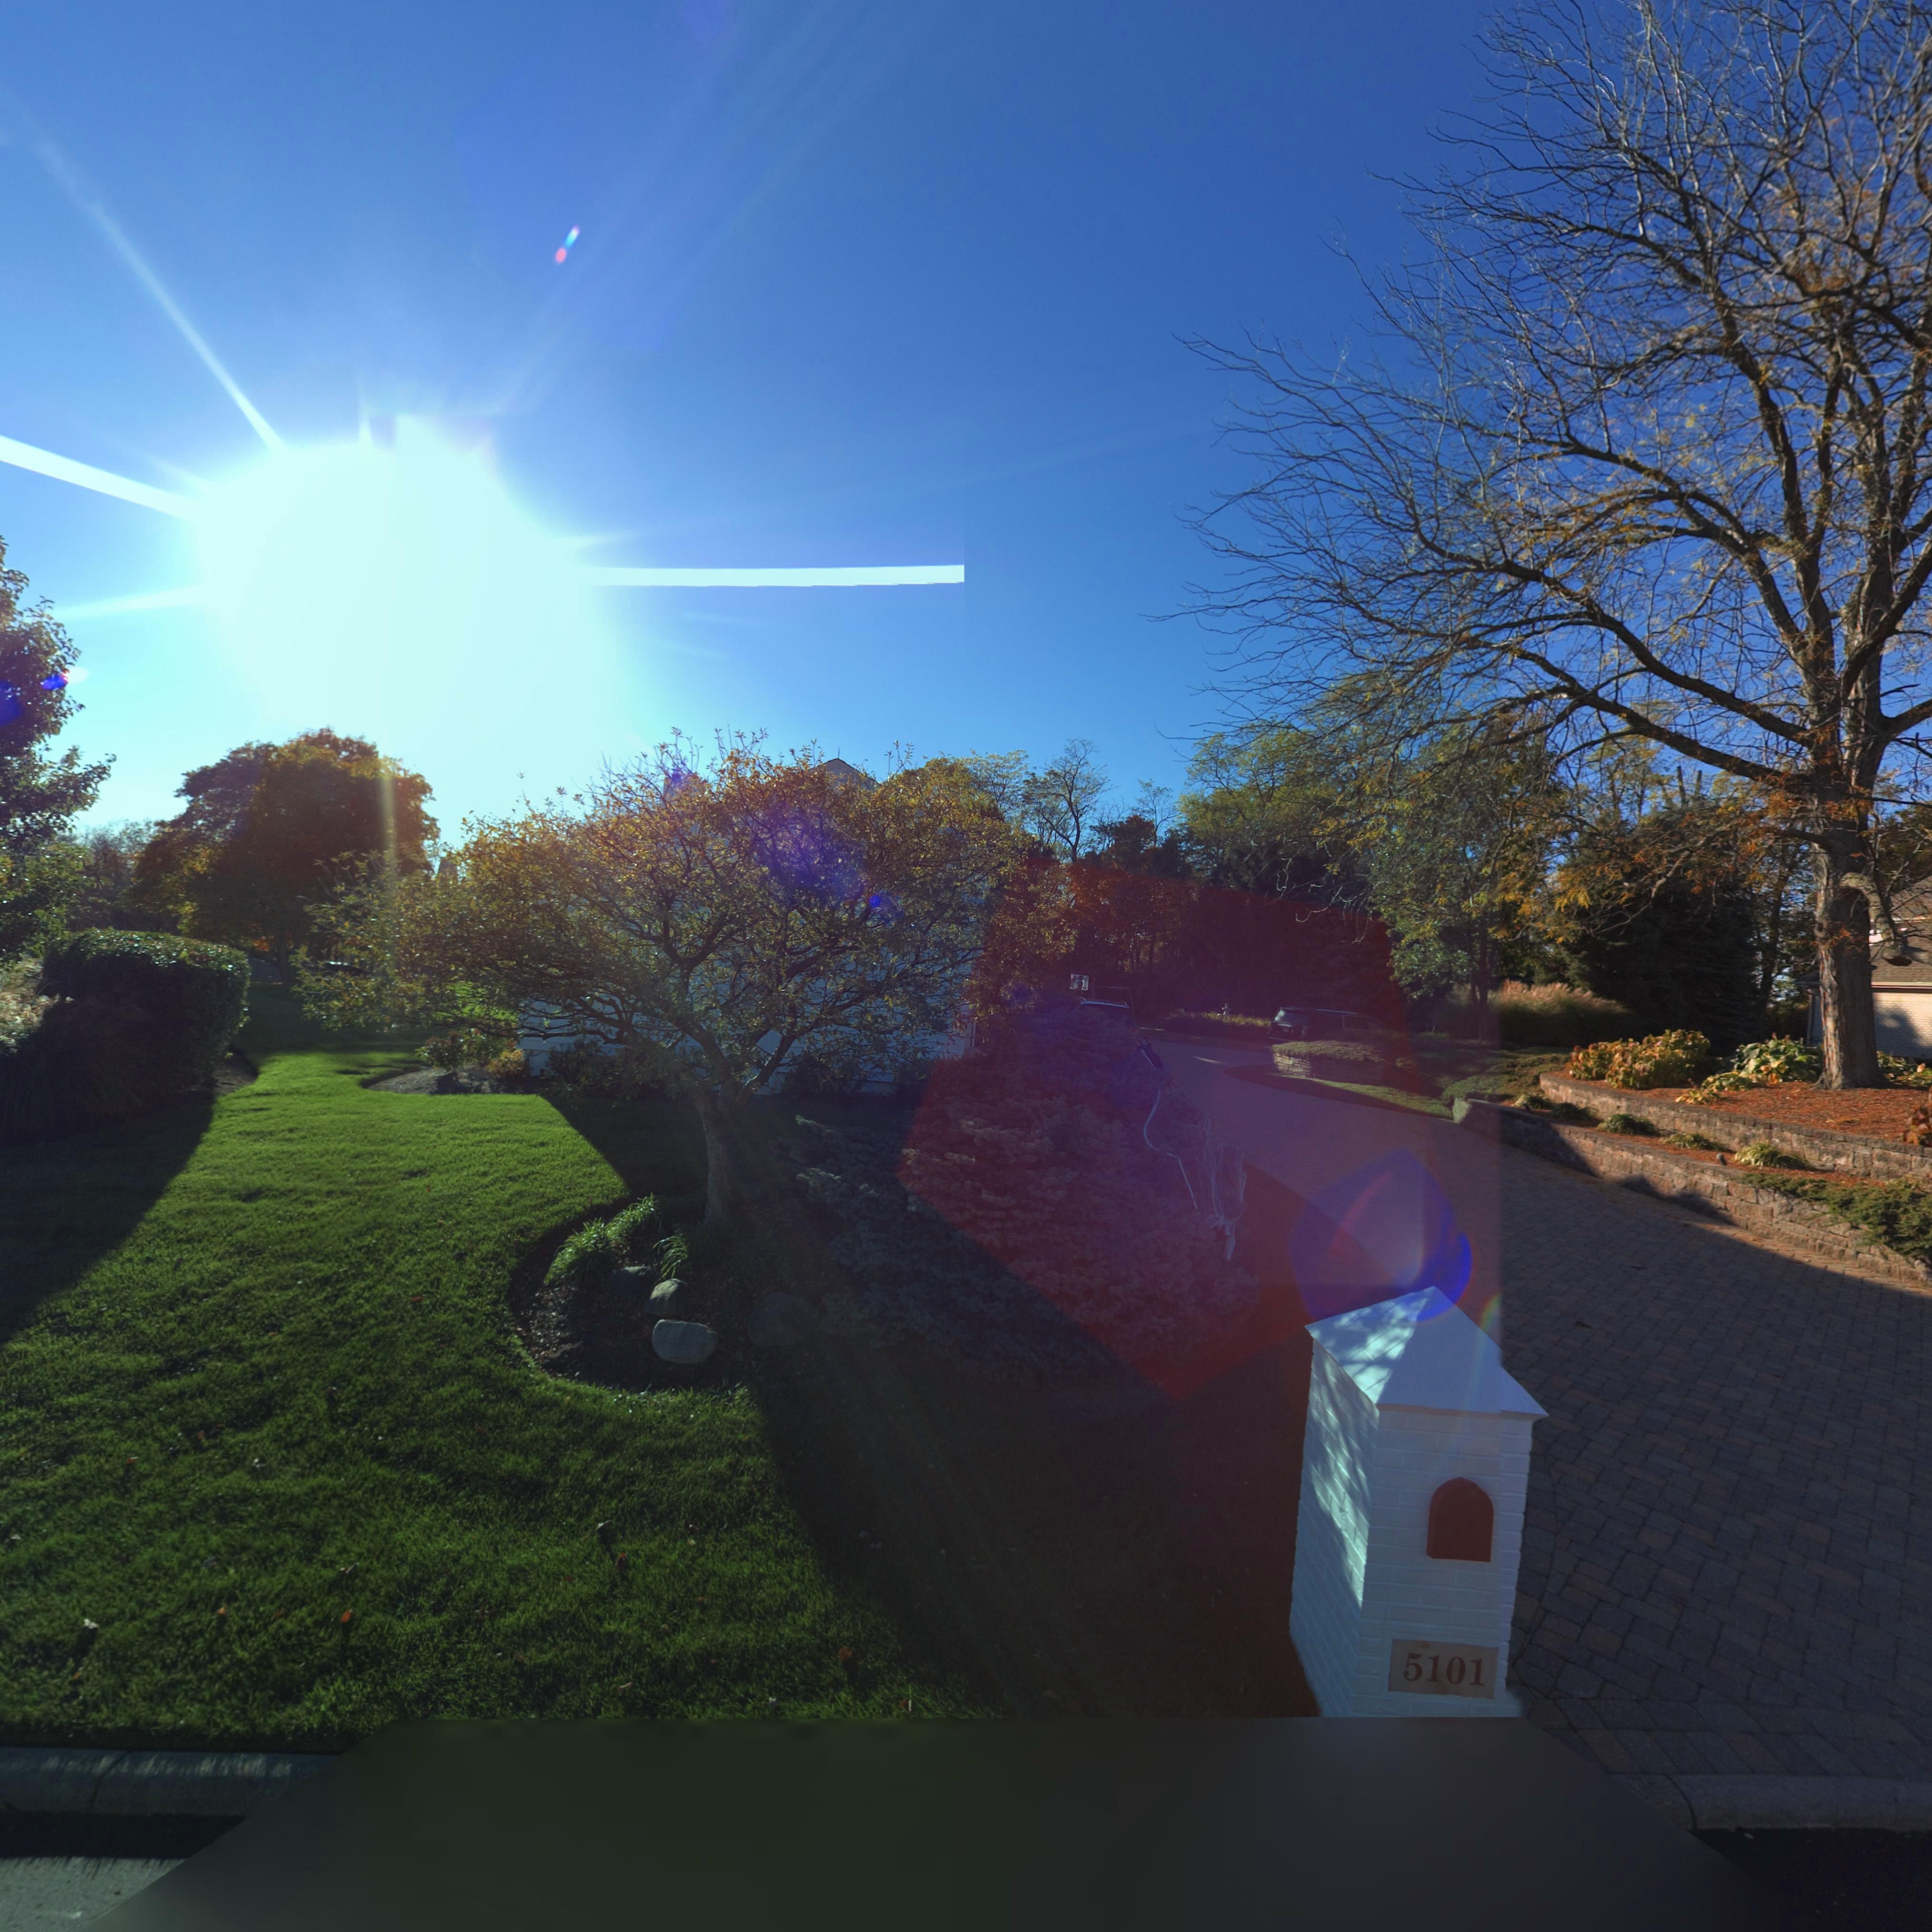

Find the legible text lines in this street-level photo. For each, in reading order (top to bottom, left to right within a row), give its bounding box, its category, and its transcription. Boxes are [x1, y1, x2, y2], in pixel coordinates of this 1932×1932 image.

[1398, 1648, 1490, 1690] StreetNumber: 5101